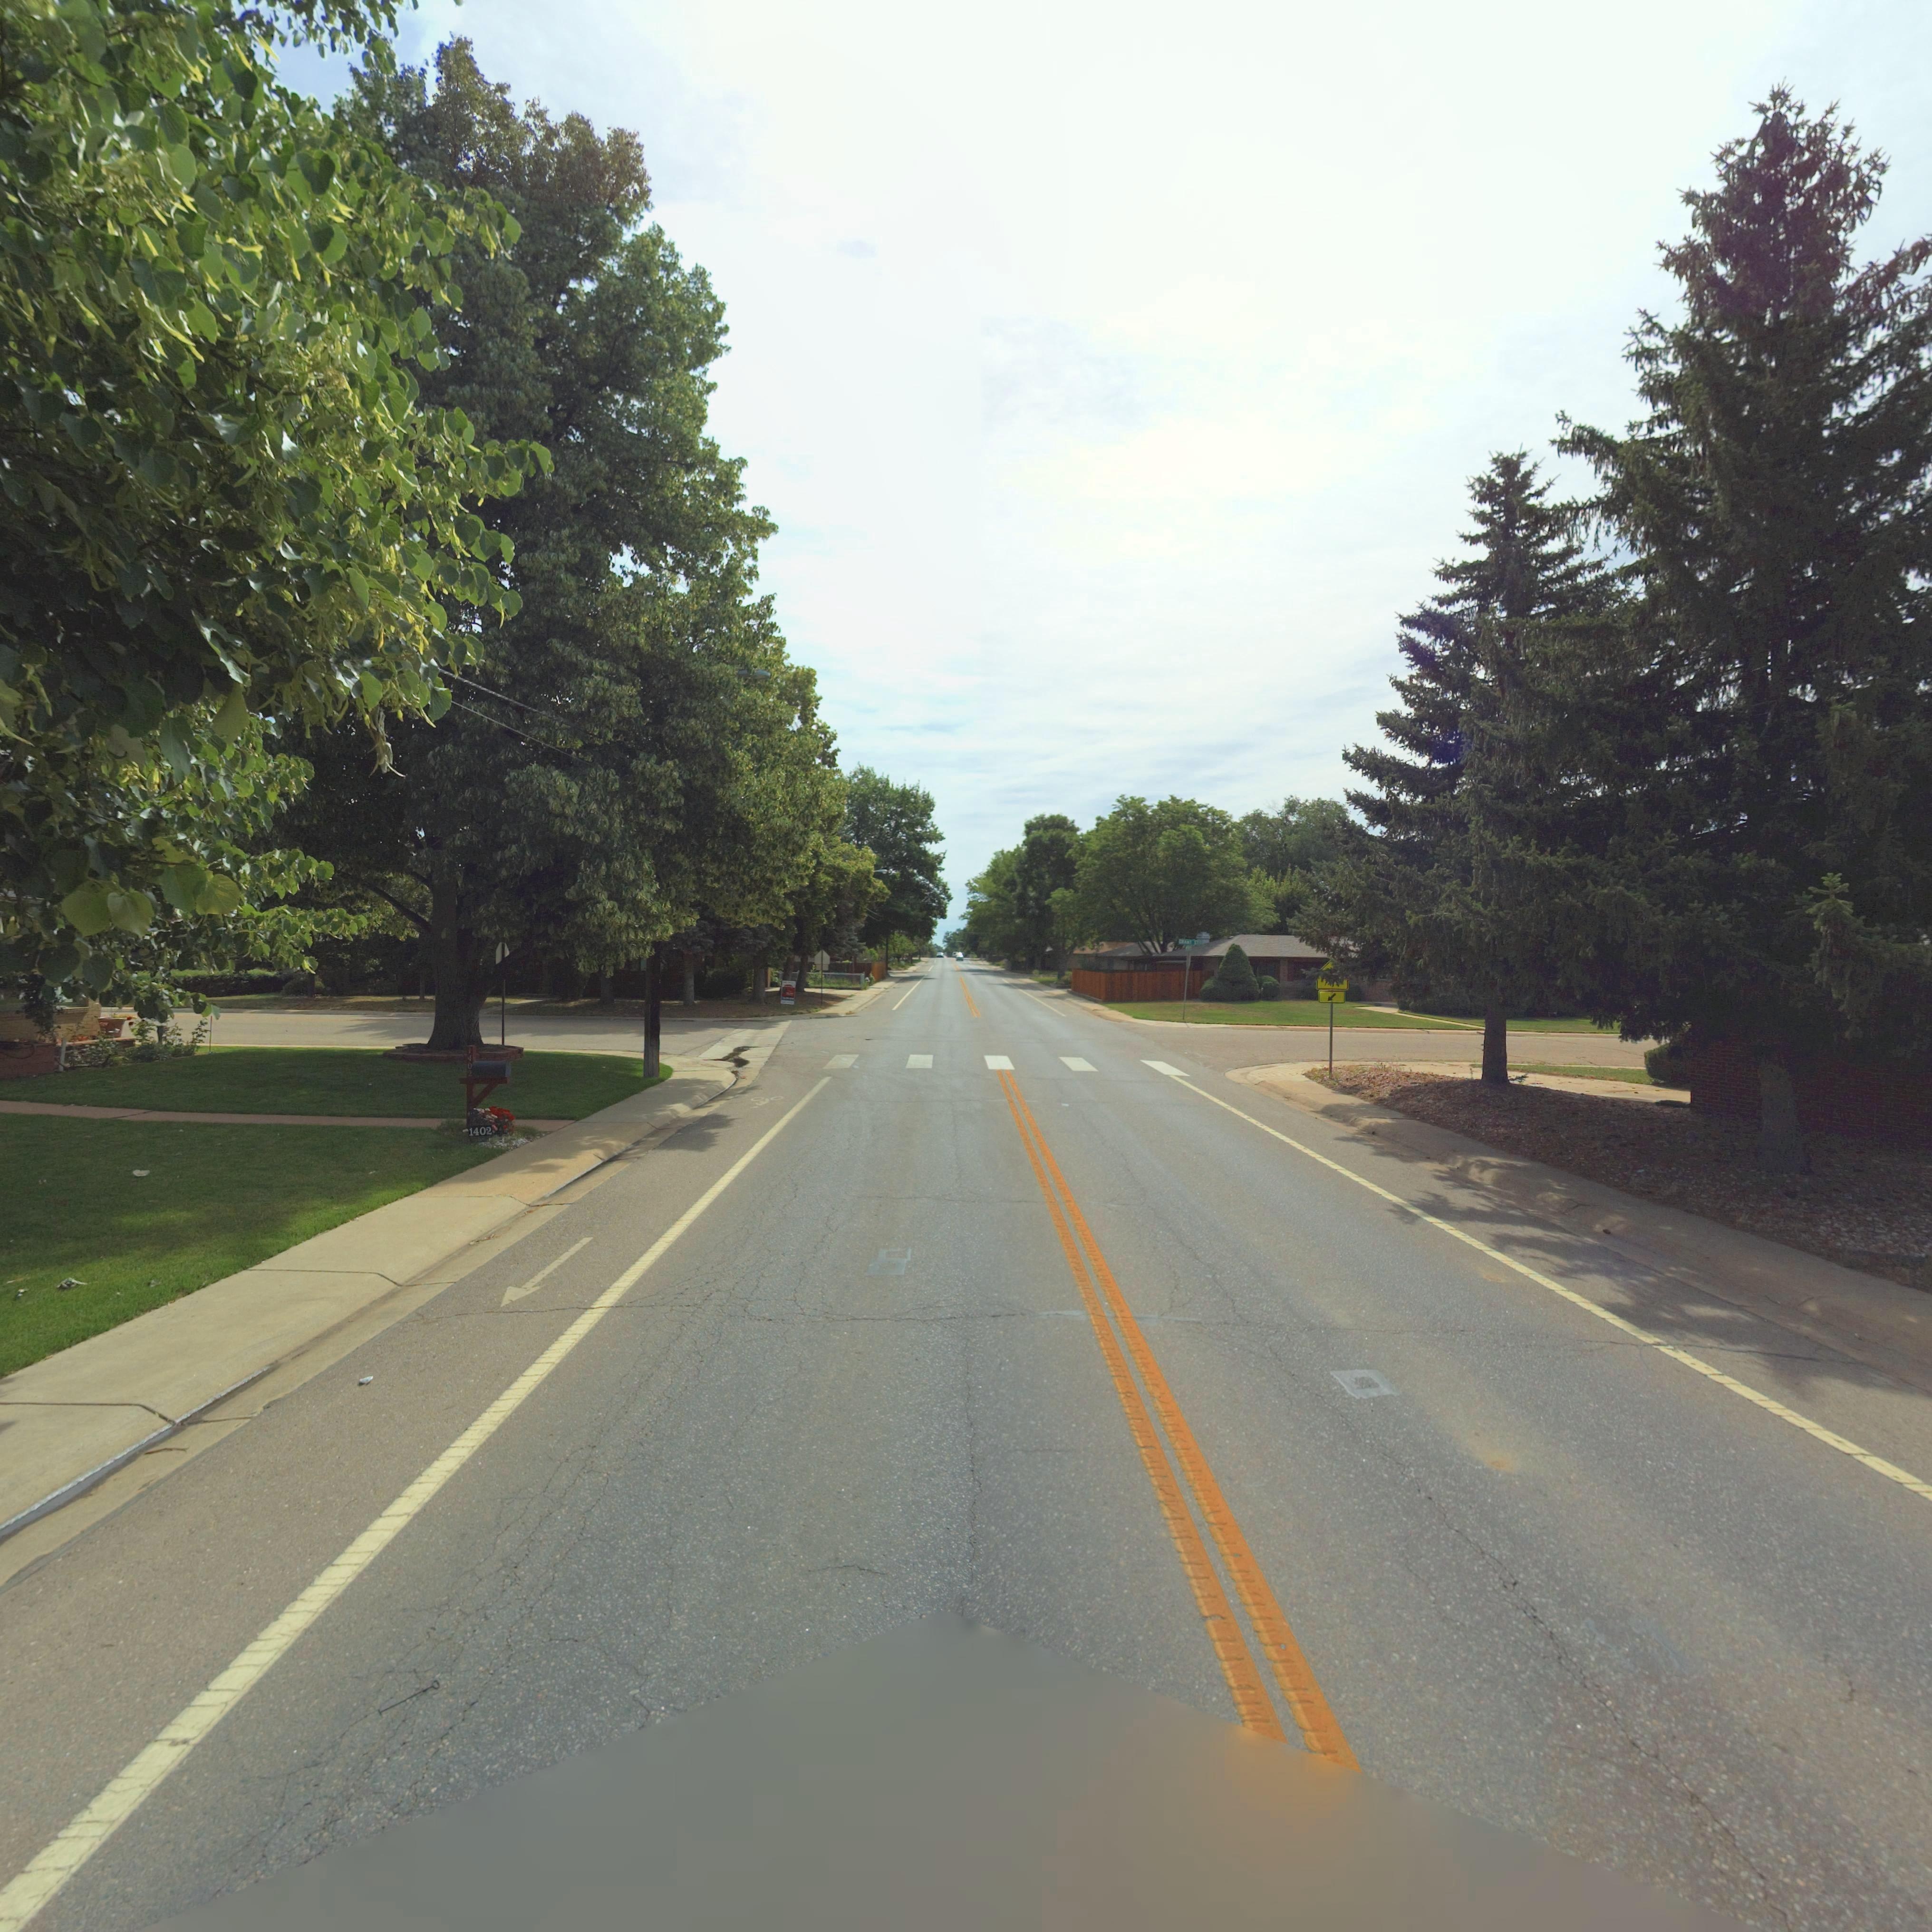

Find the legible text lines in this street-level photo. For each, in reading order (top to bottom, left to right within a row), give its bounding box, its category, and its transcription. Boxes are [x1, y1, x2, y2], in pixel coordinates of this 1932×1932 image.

[1179, 939, 1198, 945] StreetName: GRANT ST
[467, 1046, 472, 1077] StreetNumber: 1402
[469, 1126, 492, 1136] StreetNumber: 1402